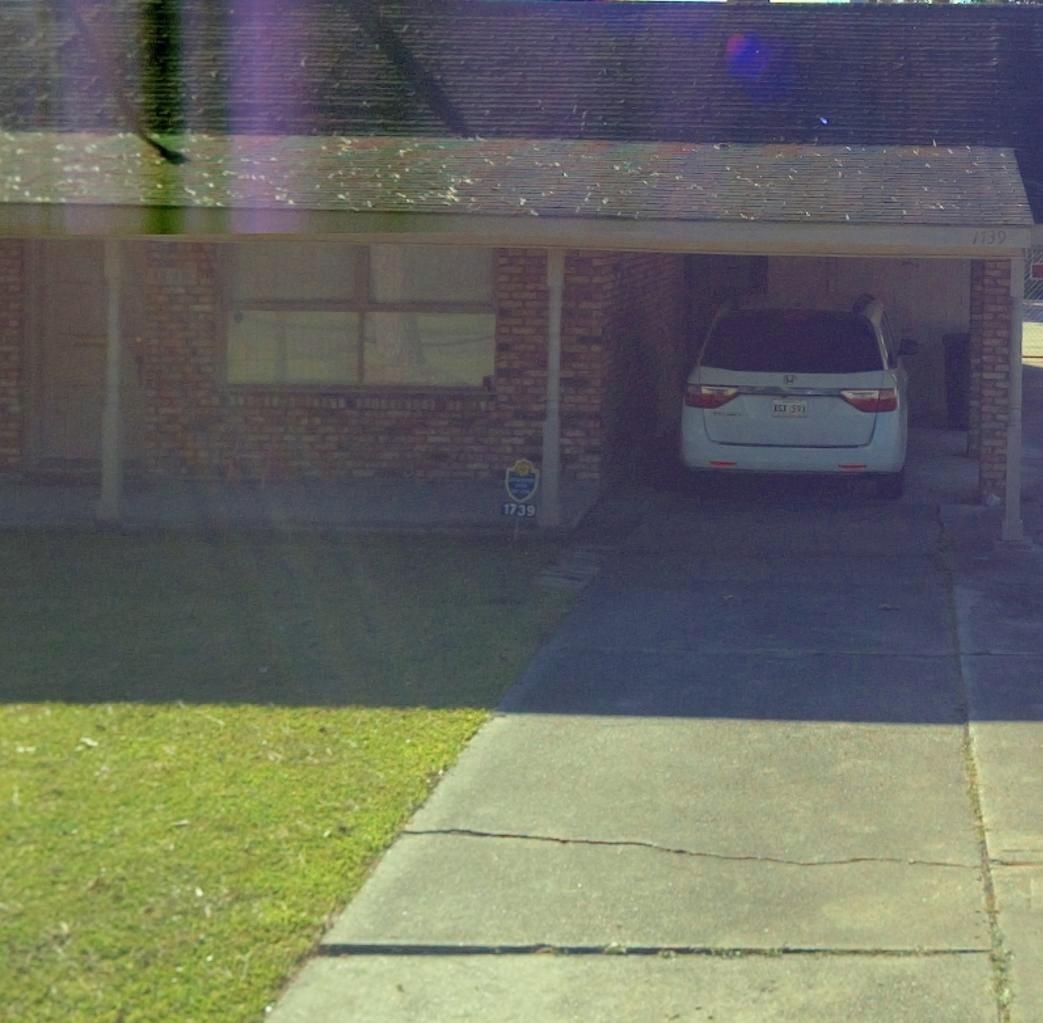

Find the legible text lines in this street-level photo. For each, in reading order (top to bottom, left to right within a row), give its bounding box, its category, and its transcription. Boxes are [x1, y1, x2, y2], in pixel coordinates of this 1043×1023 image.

[970, 229, 1009, 246] StreetNumber: 1739
[790, 404, 806, 415] None: 593
[502, 503, 536, 517] StreetNumber: 1739